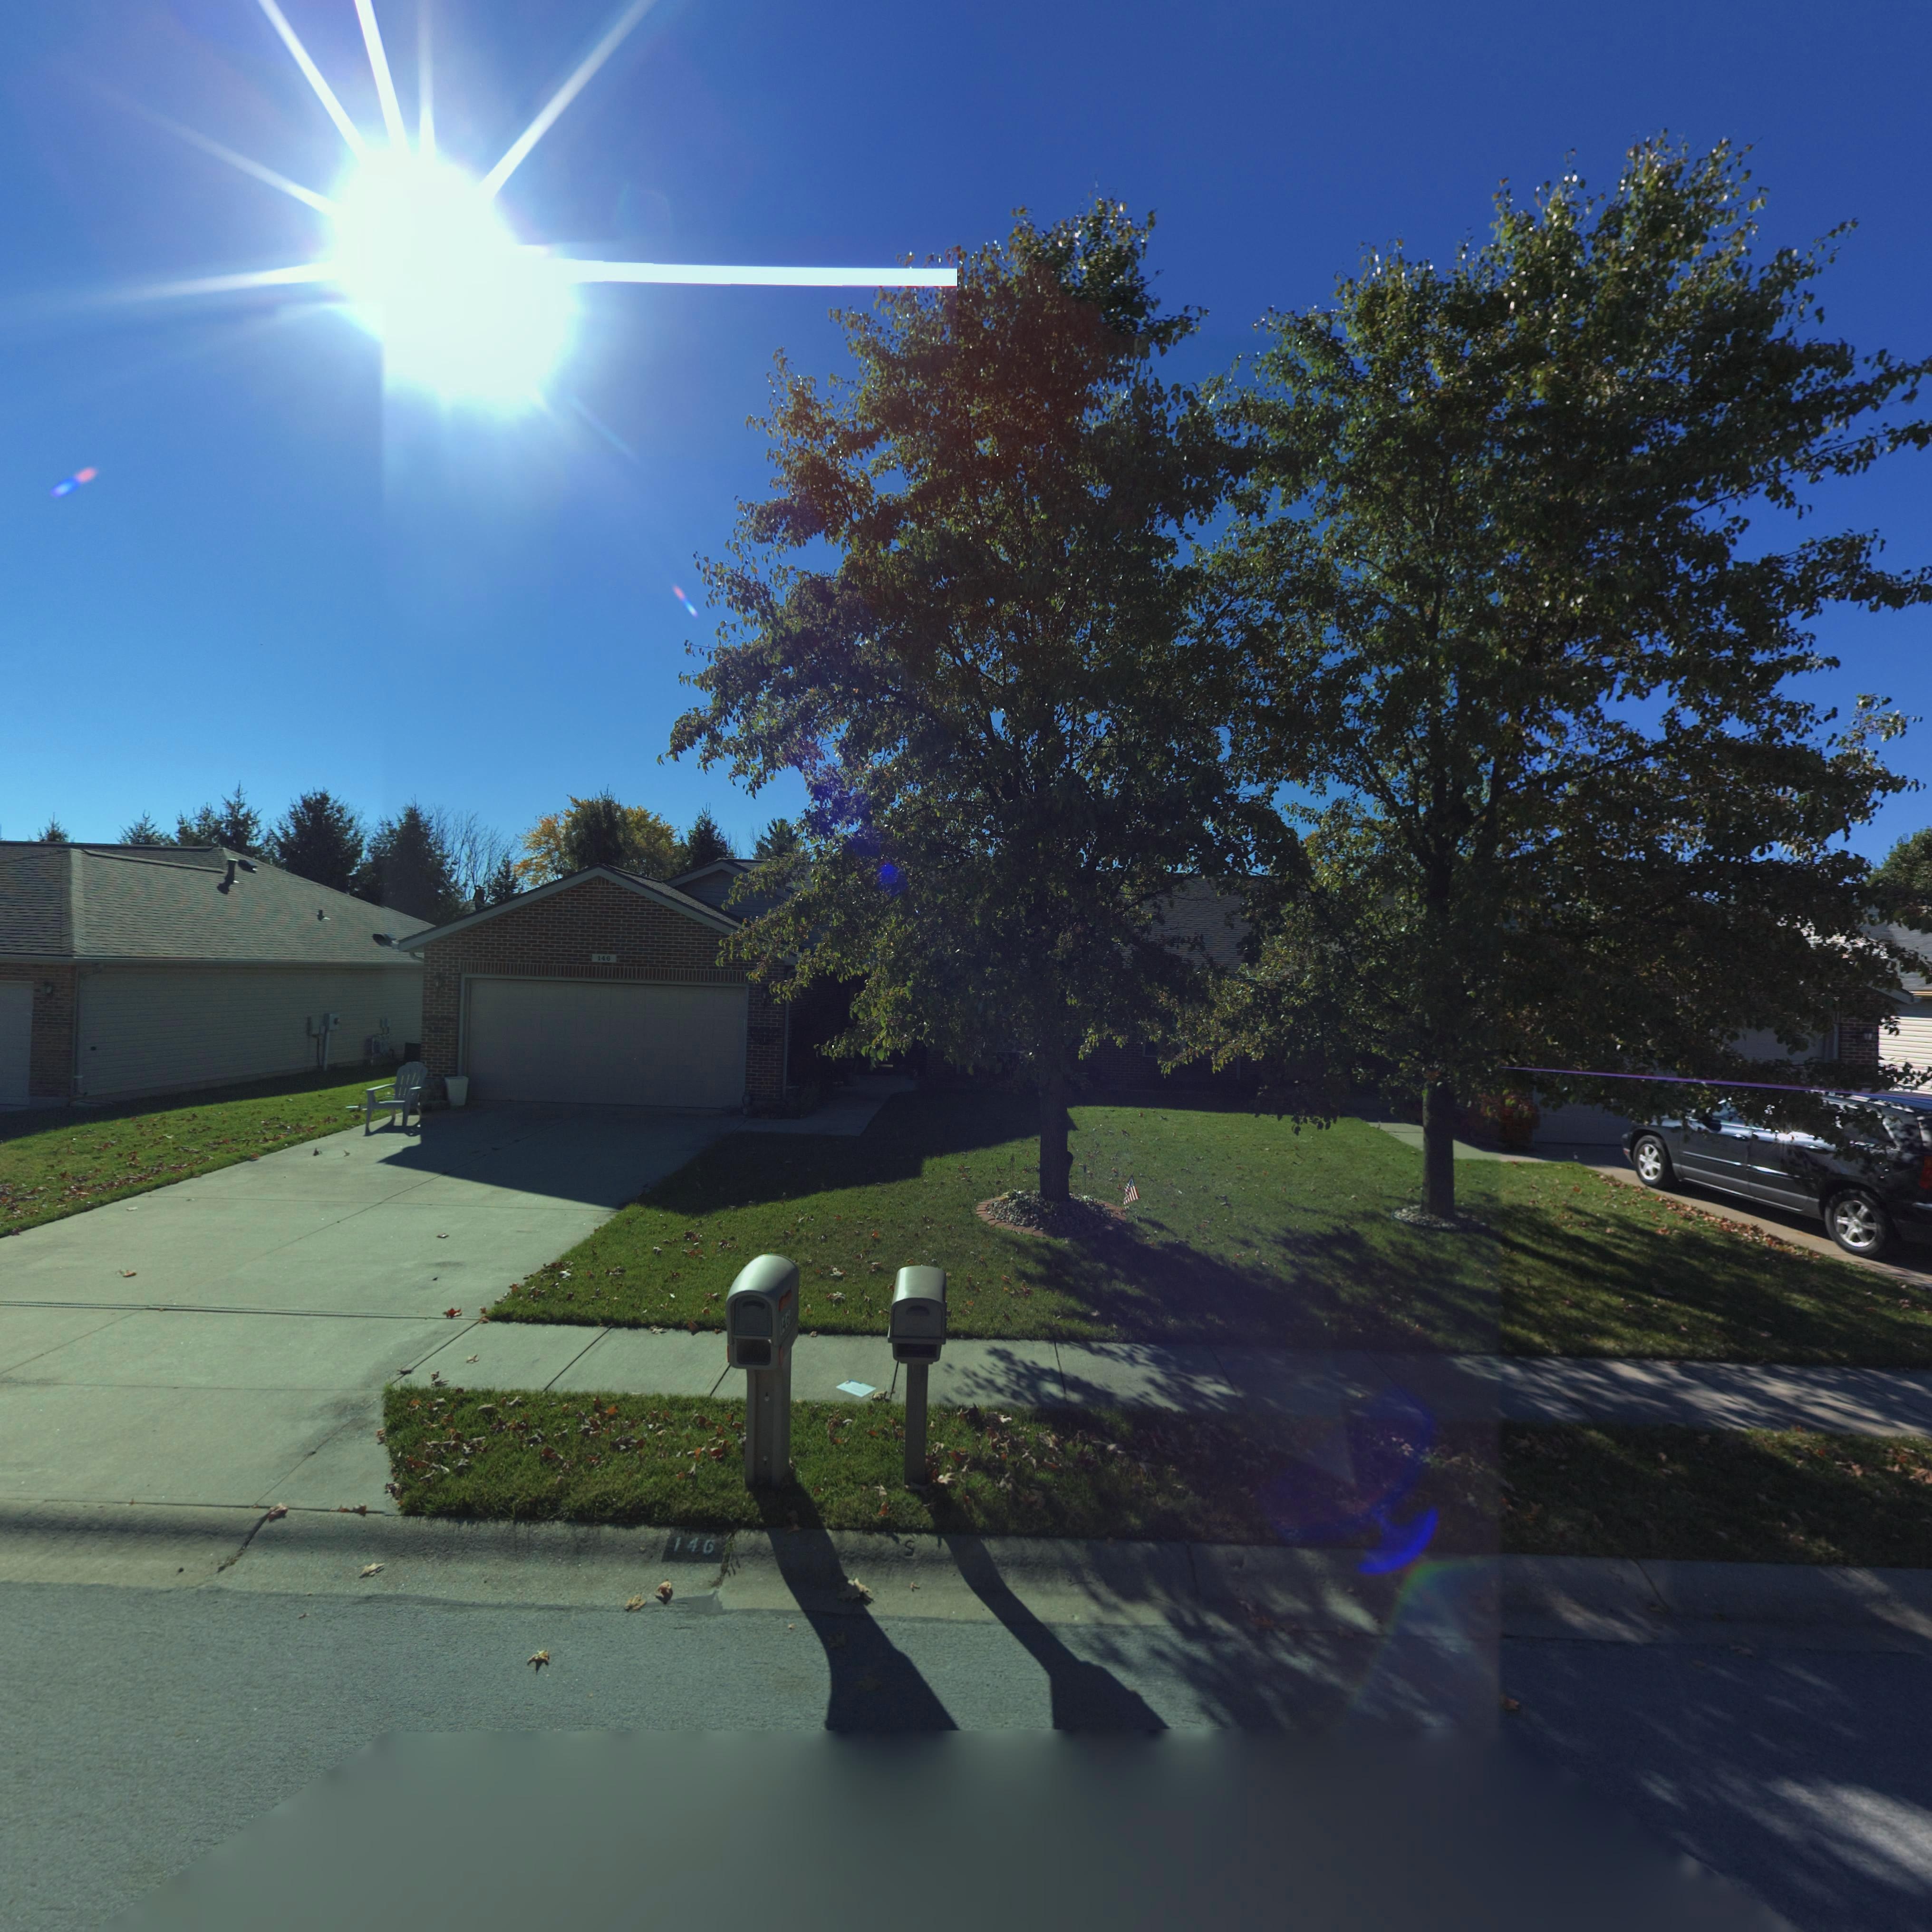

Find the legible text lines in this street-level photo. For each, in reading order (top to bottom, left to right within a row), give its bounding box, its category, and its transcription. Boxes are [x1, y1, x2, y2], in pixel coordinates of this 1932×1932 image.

[597, 955, 611, 961] StreetNumber: 146
[780, 1309, 790, 1336] StreetNumber: 146
[672, 1536, 716, 1555] StreetNumber: 146